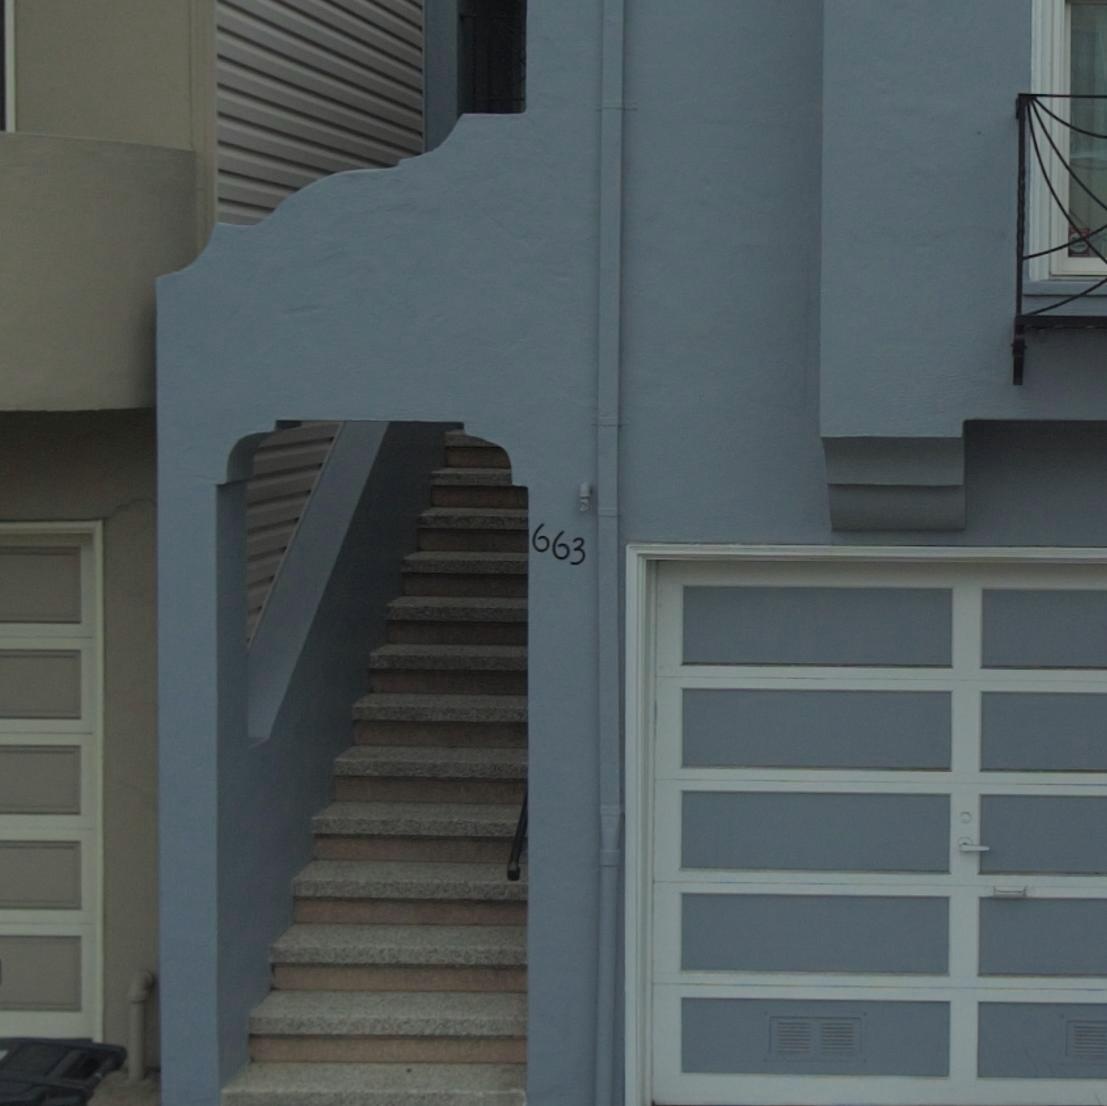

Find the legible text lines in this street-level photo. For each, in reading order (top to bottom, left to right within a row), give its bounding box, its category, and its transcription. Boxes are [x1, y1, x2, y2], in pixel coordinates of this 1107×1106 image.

[530, 521, 588, 570] StreetNumber: 663